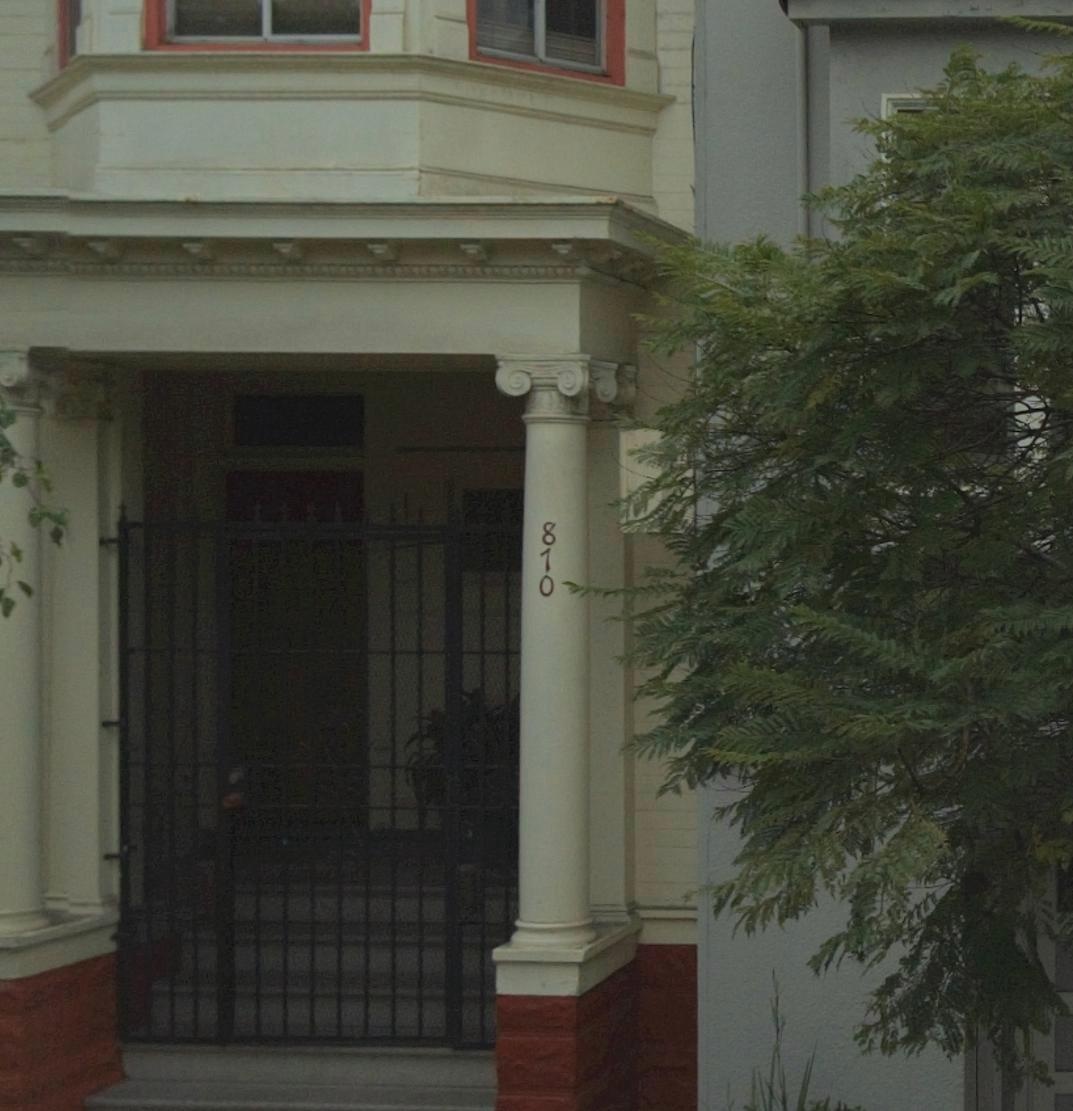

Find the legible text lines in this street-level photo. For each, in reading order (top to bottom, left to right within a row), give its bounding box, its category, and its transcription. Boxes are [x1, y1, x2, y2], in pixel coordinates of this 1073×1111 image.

[537, 519, 557, 598] StreetNumber: 870